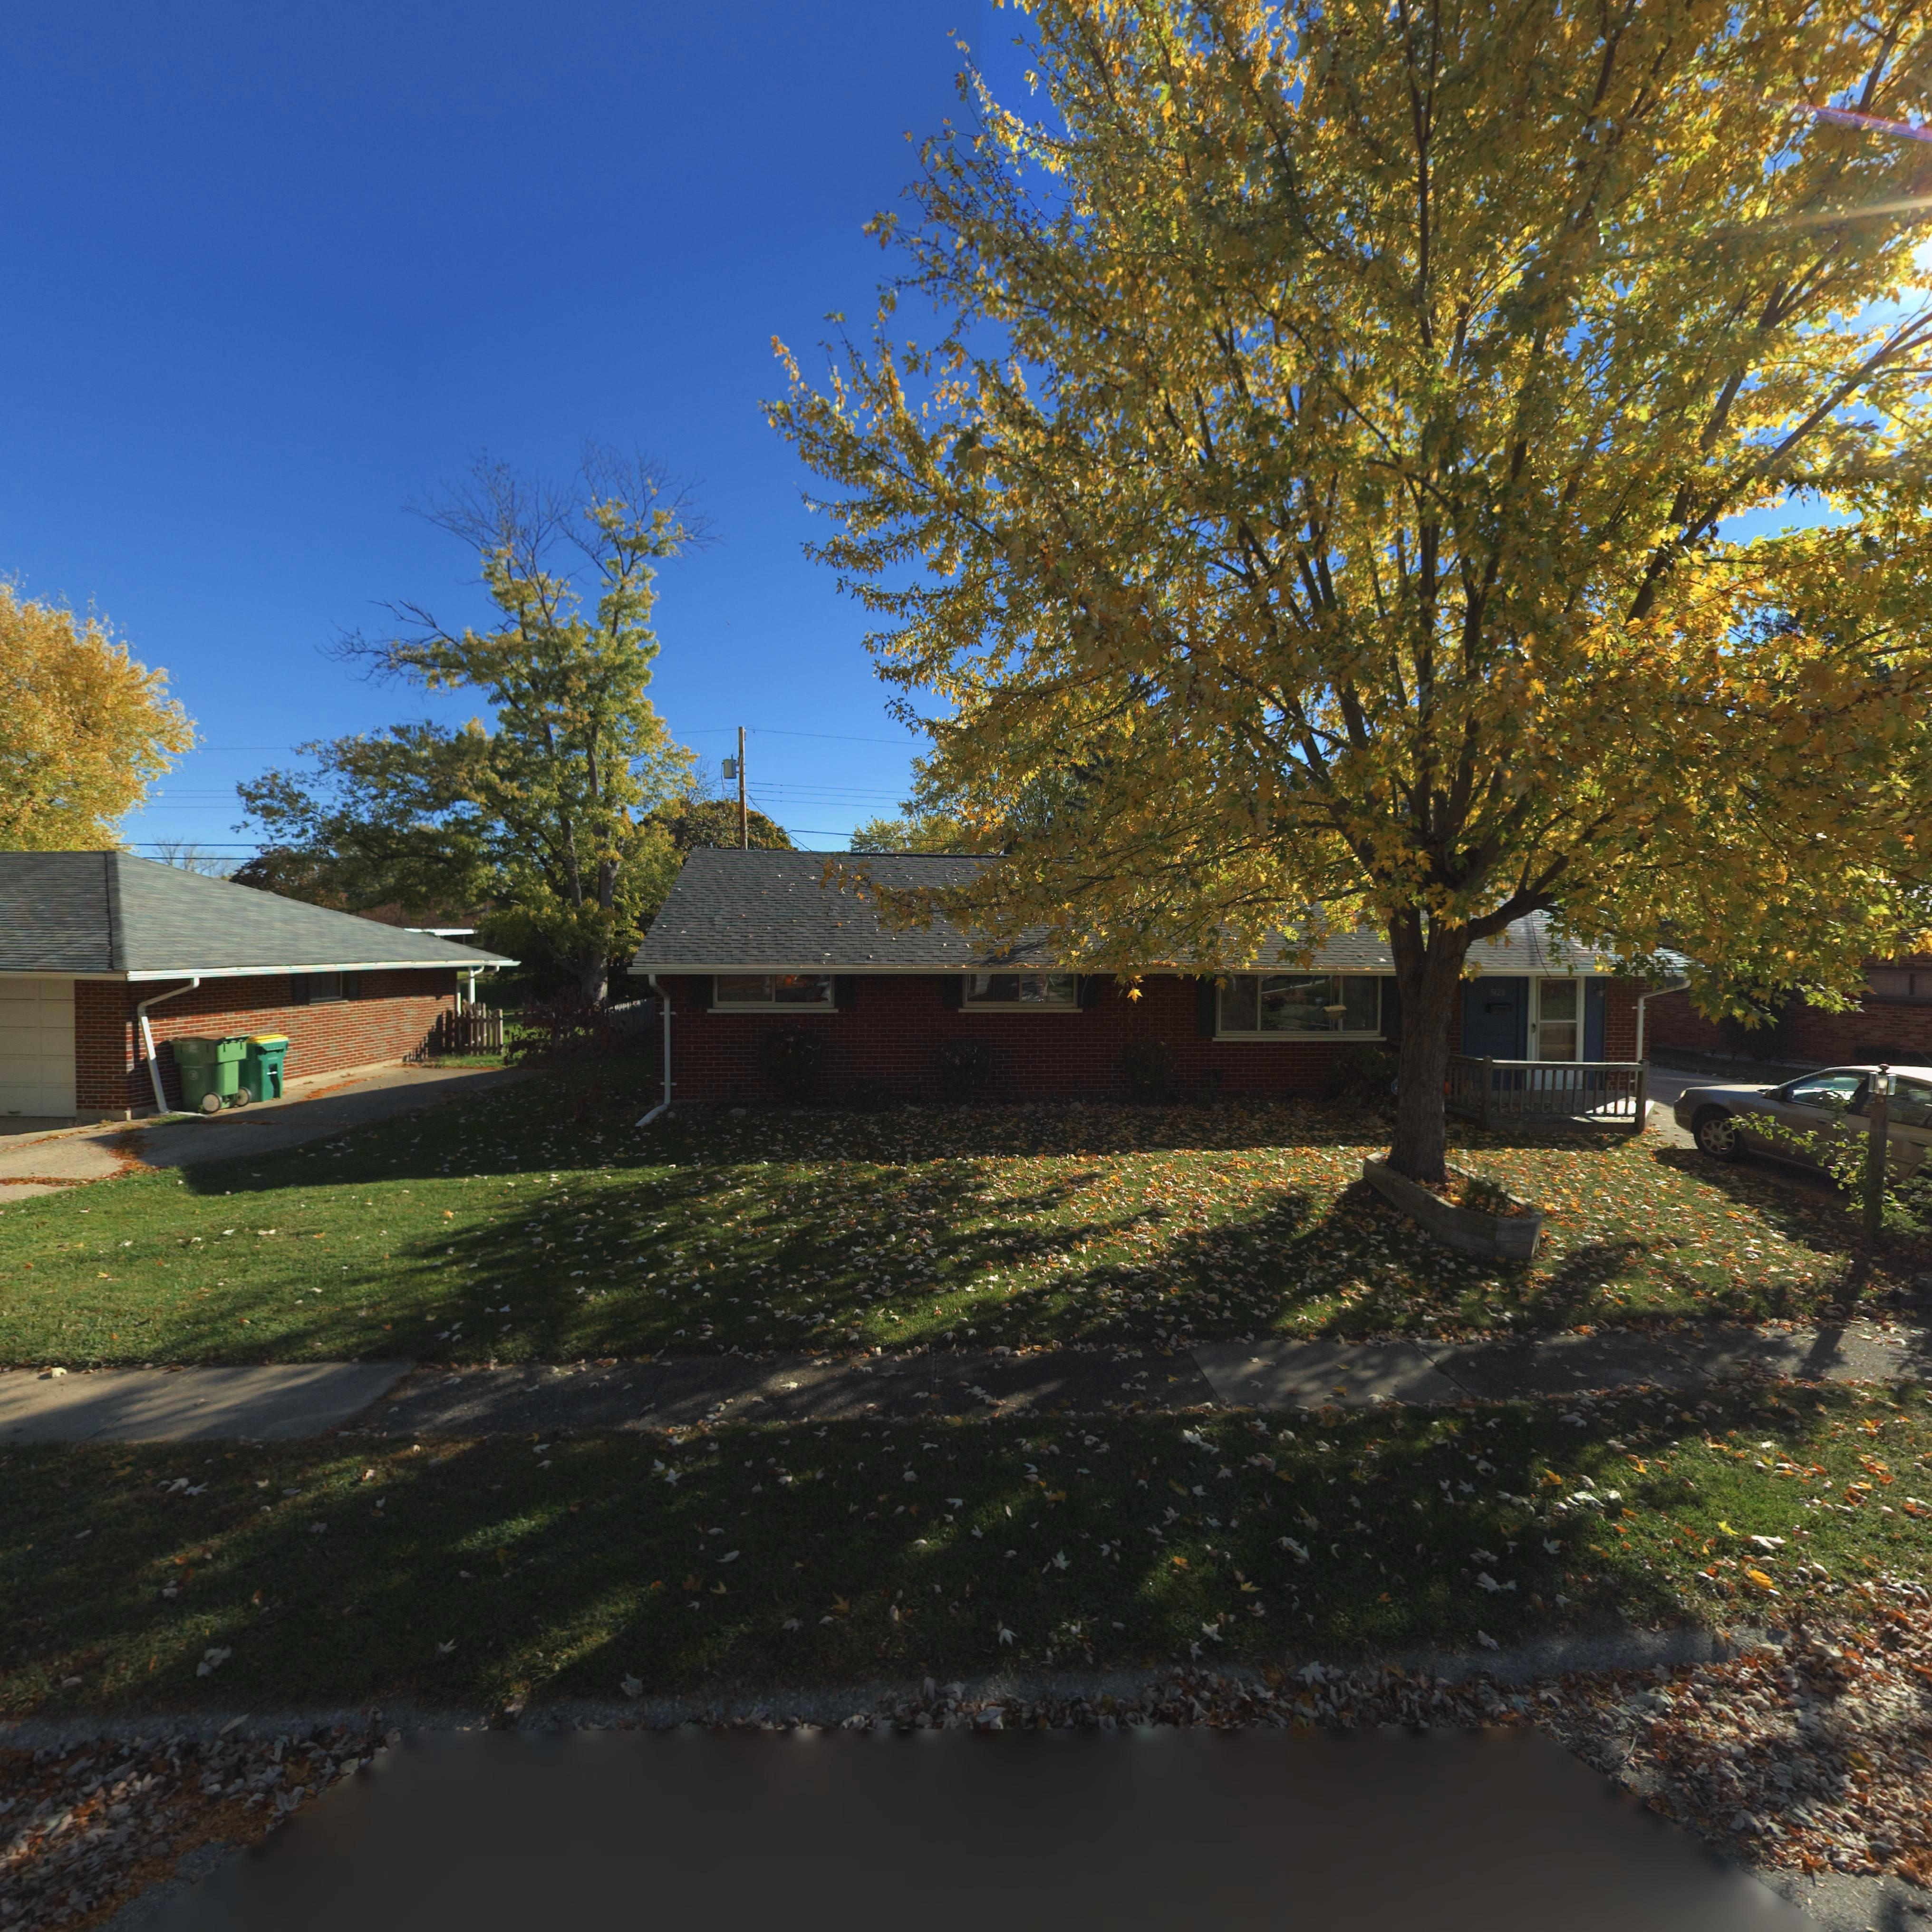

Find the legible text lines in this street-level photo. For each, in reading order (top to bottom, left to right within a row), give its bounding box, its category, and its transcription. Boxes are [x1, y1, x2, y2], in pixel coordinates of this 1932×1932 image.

[1489, 987, 1506, 996] StreetNumber: 5120